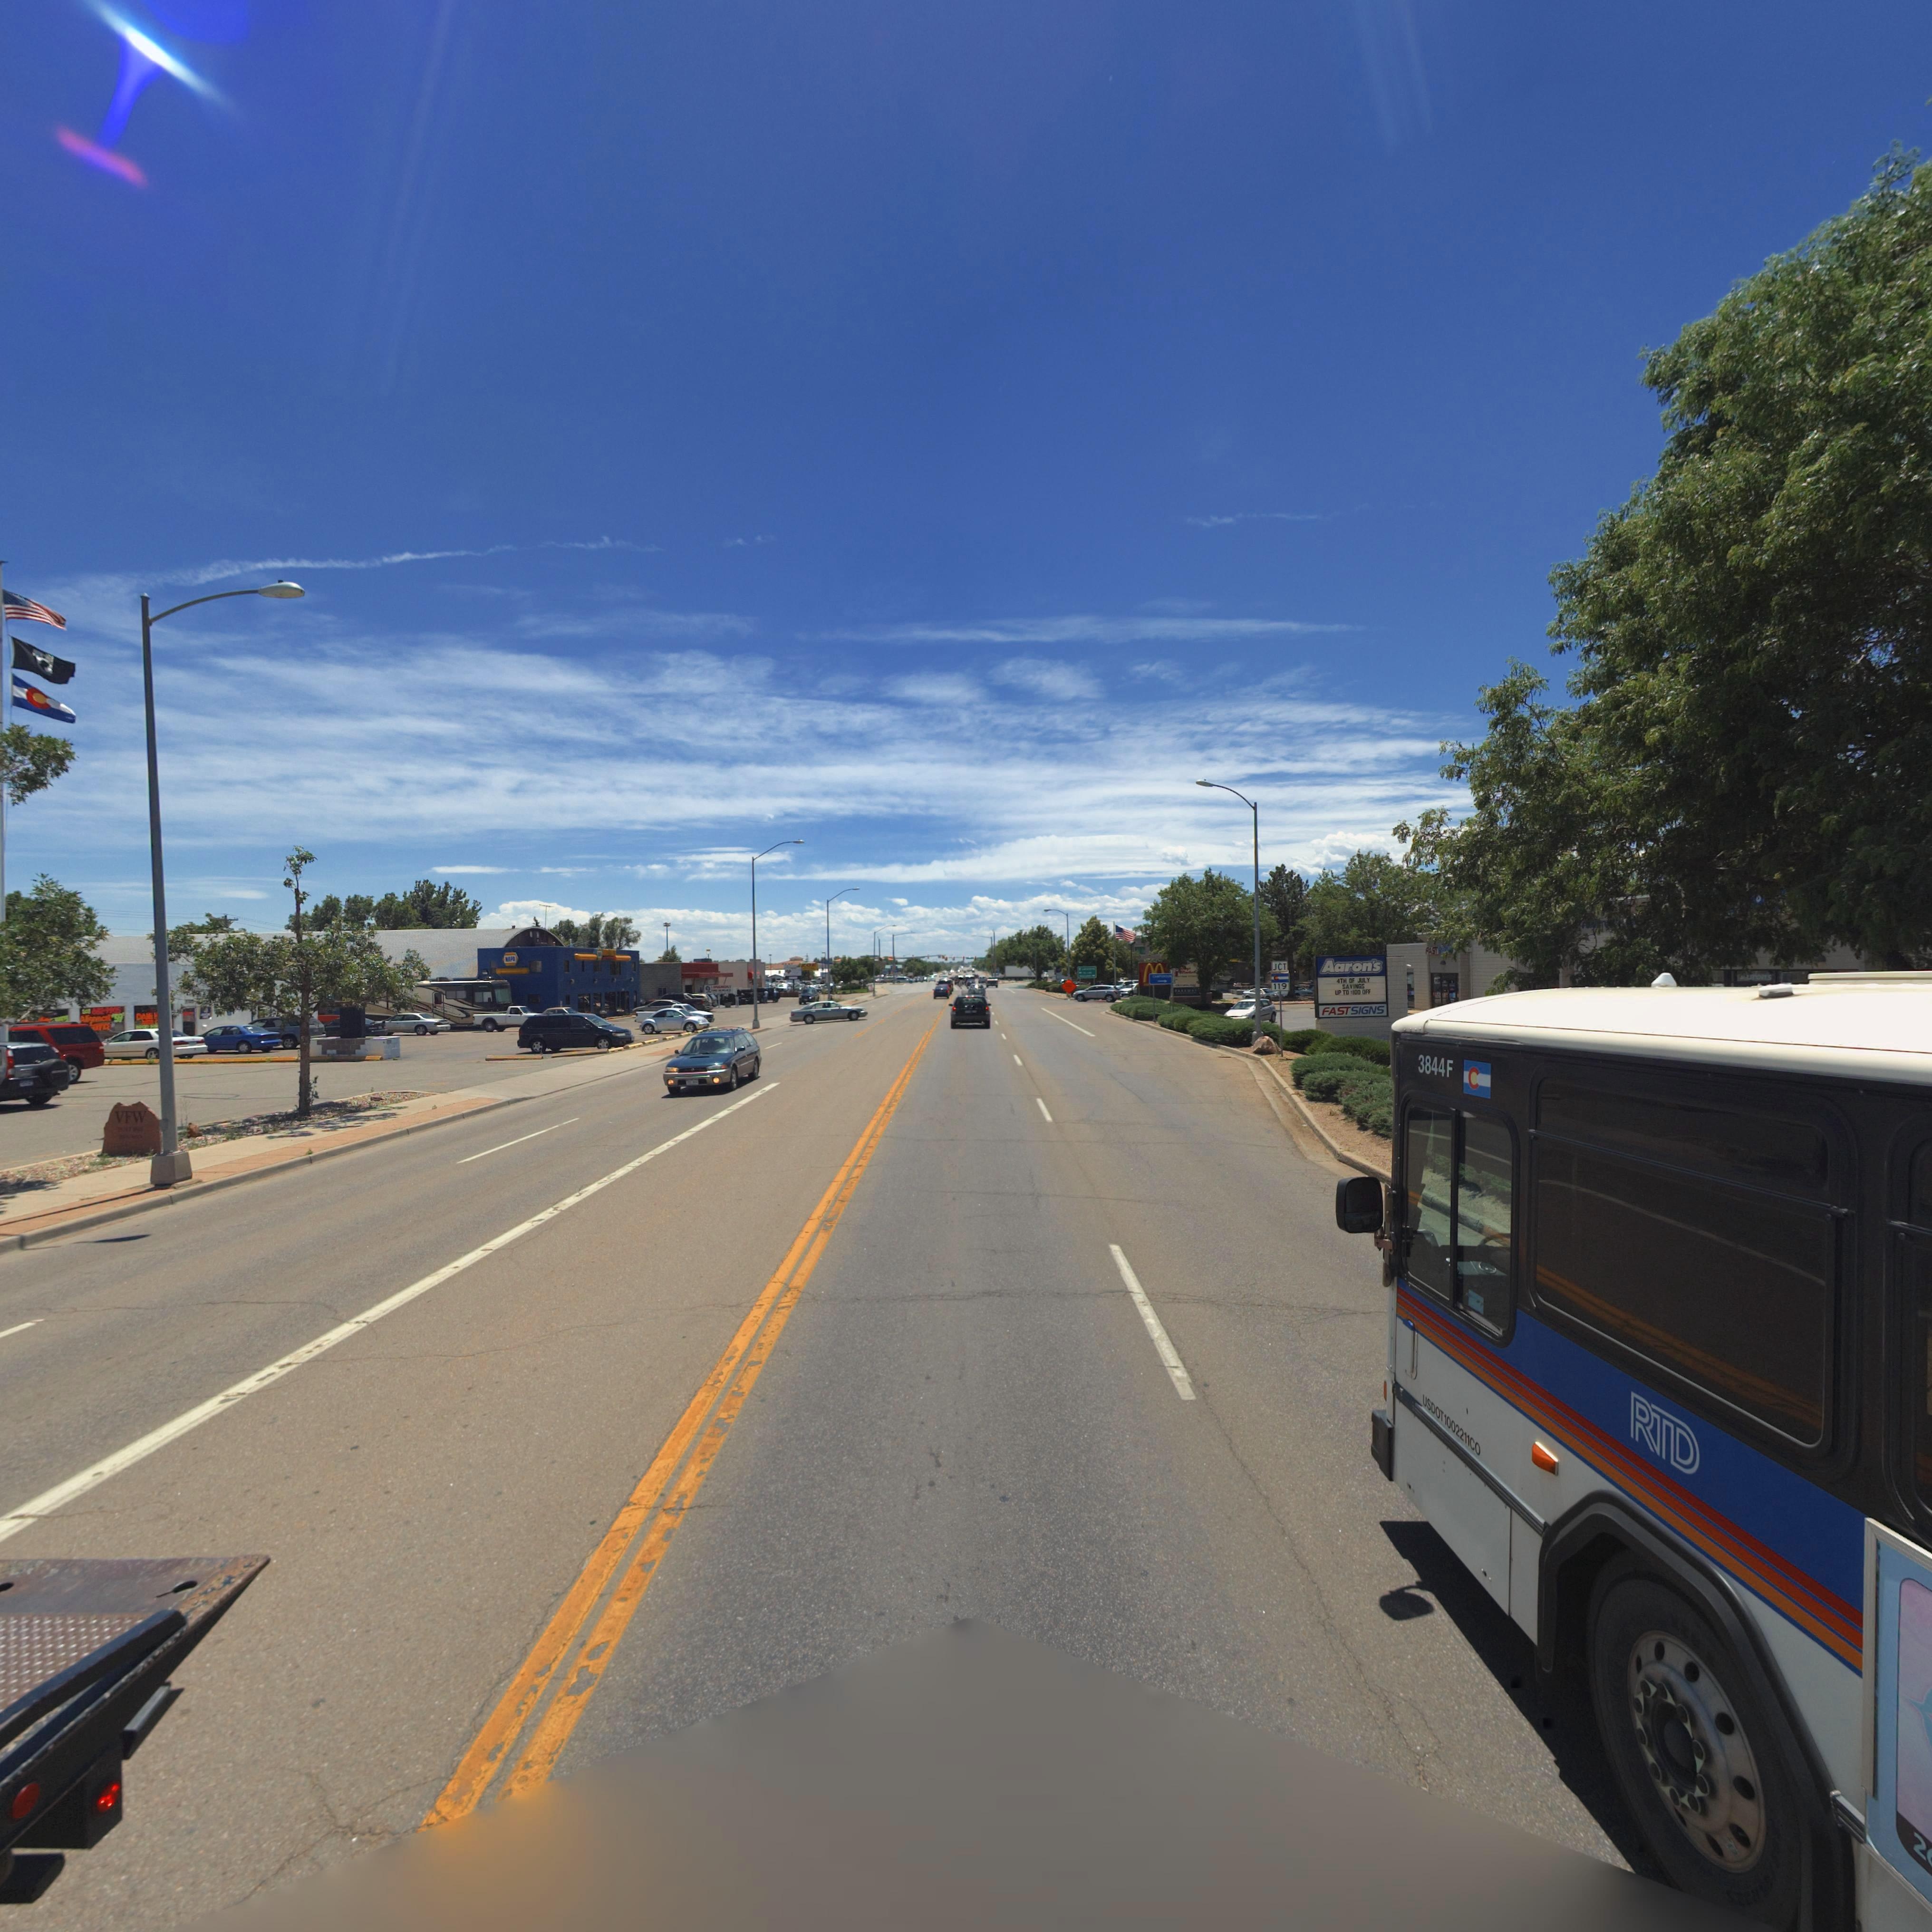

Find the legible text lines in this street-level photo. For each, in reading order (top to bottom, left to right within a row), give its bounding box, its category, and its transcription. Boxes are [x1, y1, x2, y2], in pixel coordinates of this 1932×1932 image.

[1425, 946, 1439, 955] BusinessName: FAST
[504, 956, 516, 962] BusinessName: **PA
[801, 963, 816, 966] BusinessName: *OE
[1319, 959, 1382, 974] BusinessName: Aaron's
[1739, 973, 1774, 981] BusinessName: ***on's
[1321, 1005, 1385, 1015] BusinessName: FAST SIGNS
[114, 1110, 147, 1124] BusinessName: VFW